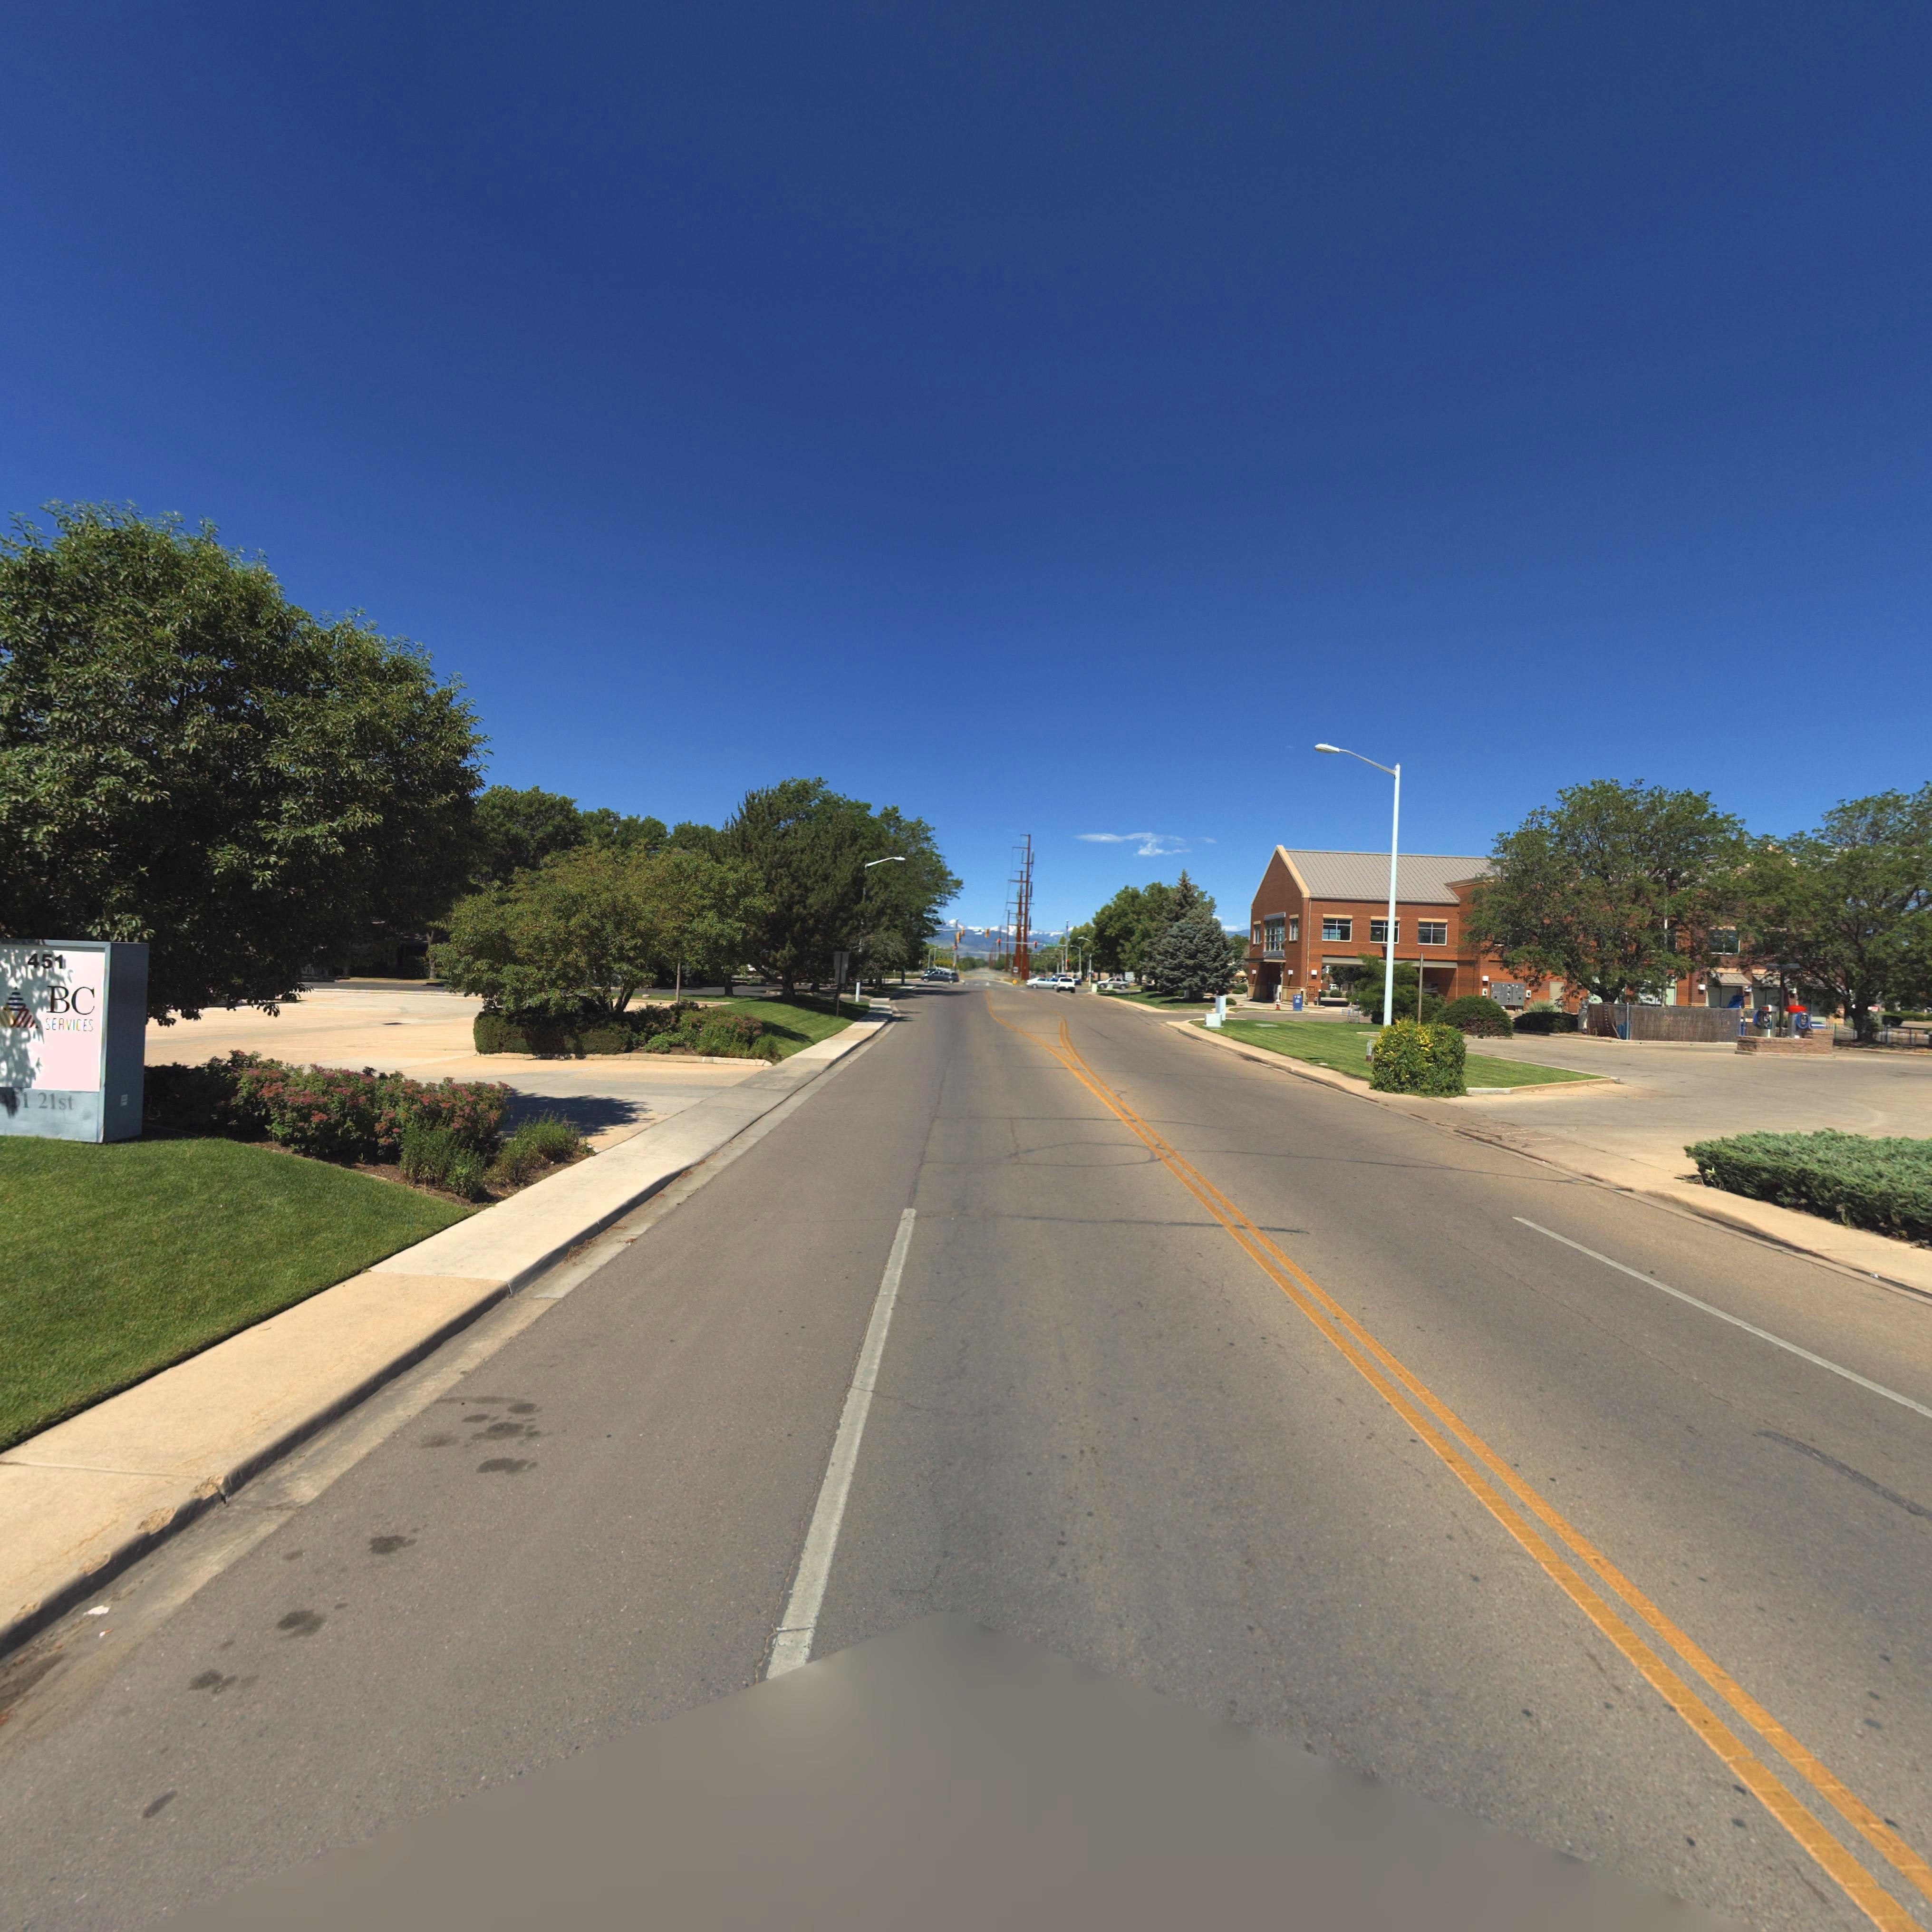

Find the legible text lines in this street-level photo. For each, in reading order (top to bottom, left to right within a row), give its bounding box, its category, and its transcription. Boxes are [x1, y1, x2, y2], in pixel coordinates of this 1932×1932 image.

[28, 953, 62, 969] StreetNumber: 451